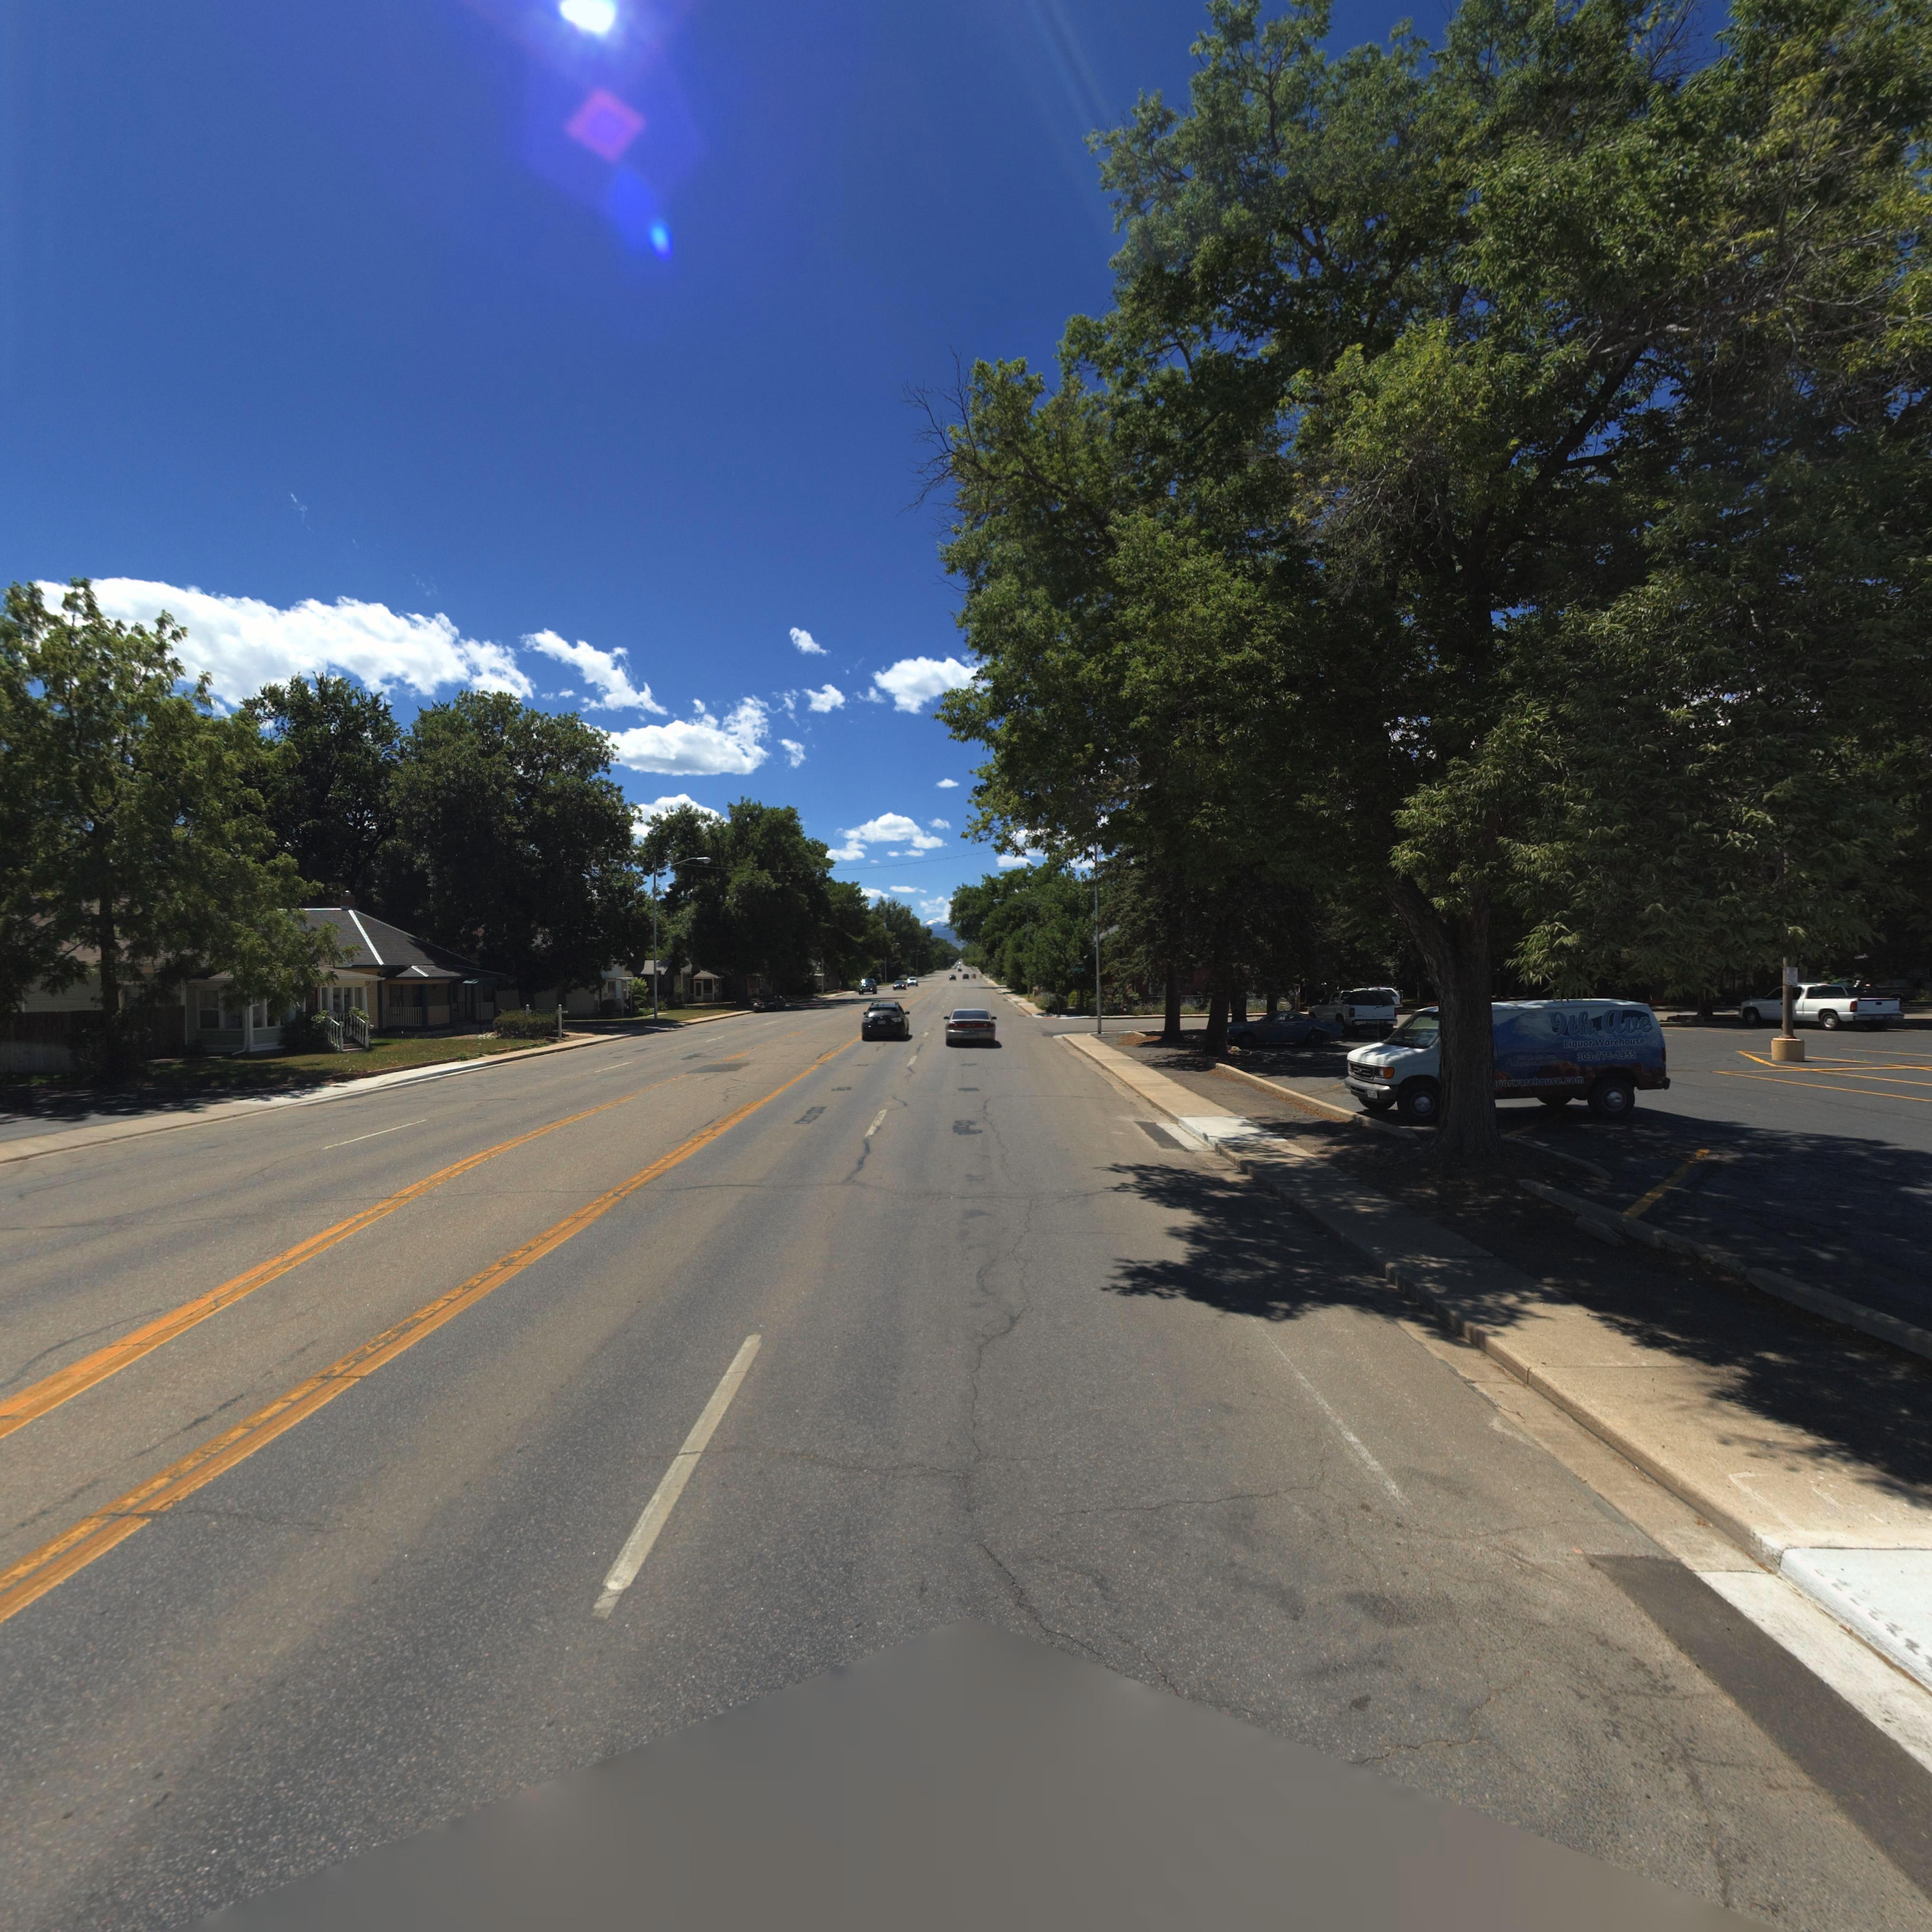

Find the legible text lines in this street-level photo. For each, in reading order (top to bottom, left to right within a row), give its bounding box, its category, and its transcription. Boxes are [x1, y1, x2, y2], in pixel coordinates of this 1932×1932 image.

[1071, 967, 1085, 972] StreetName: **** ST